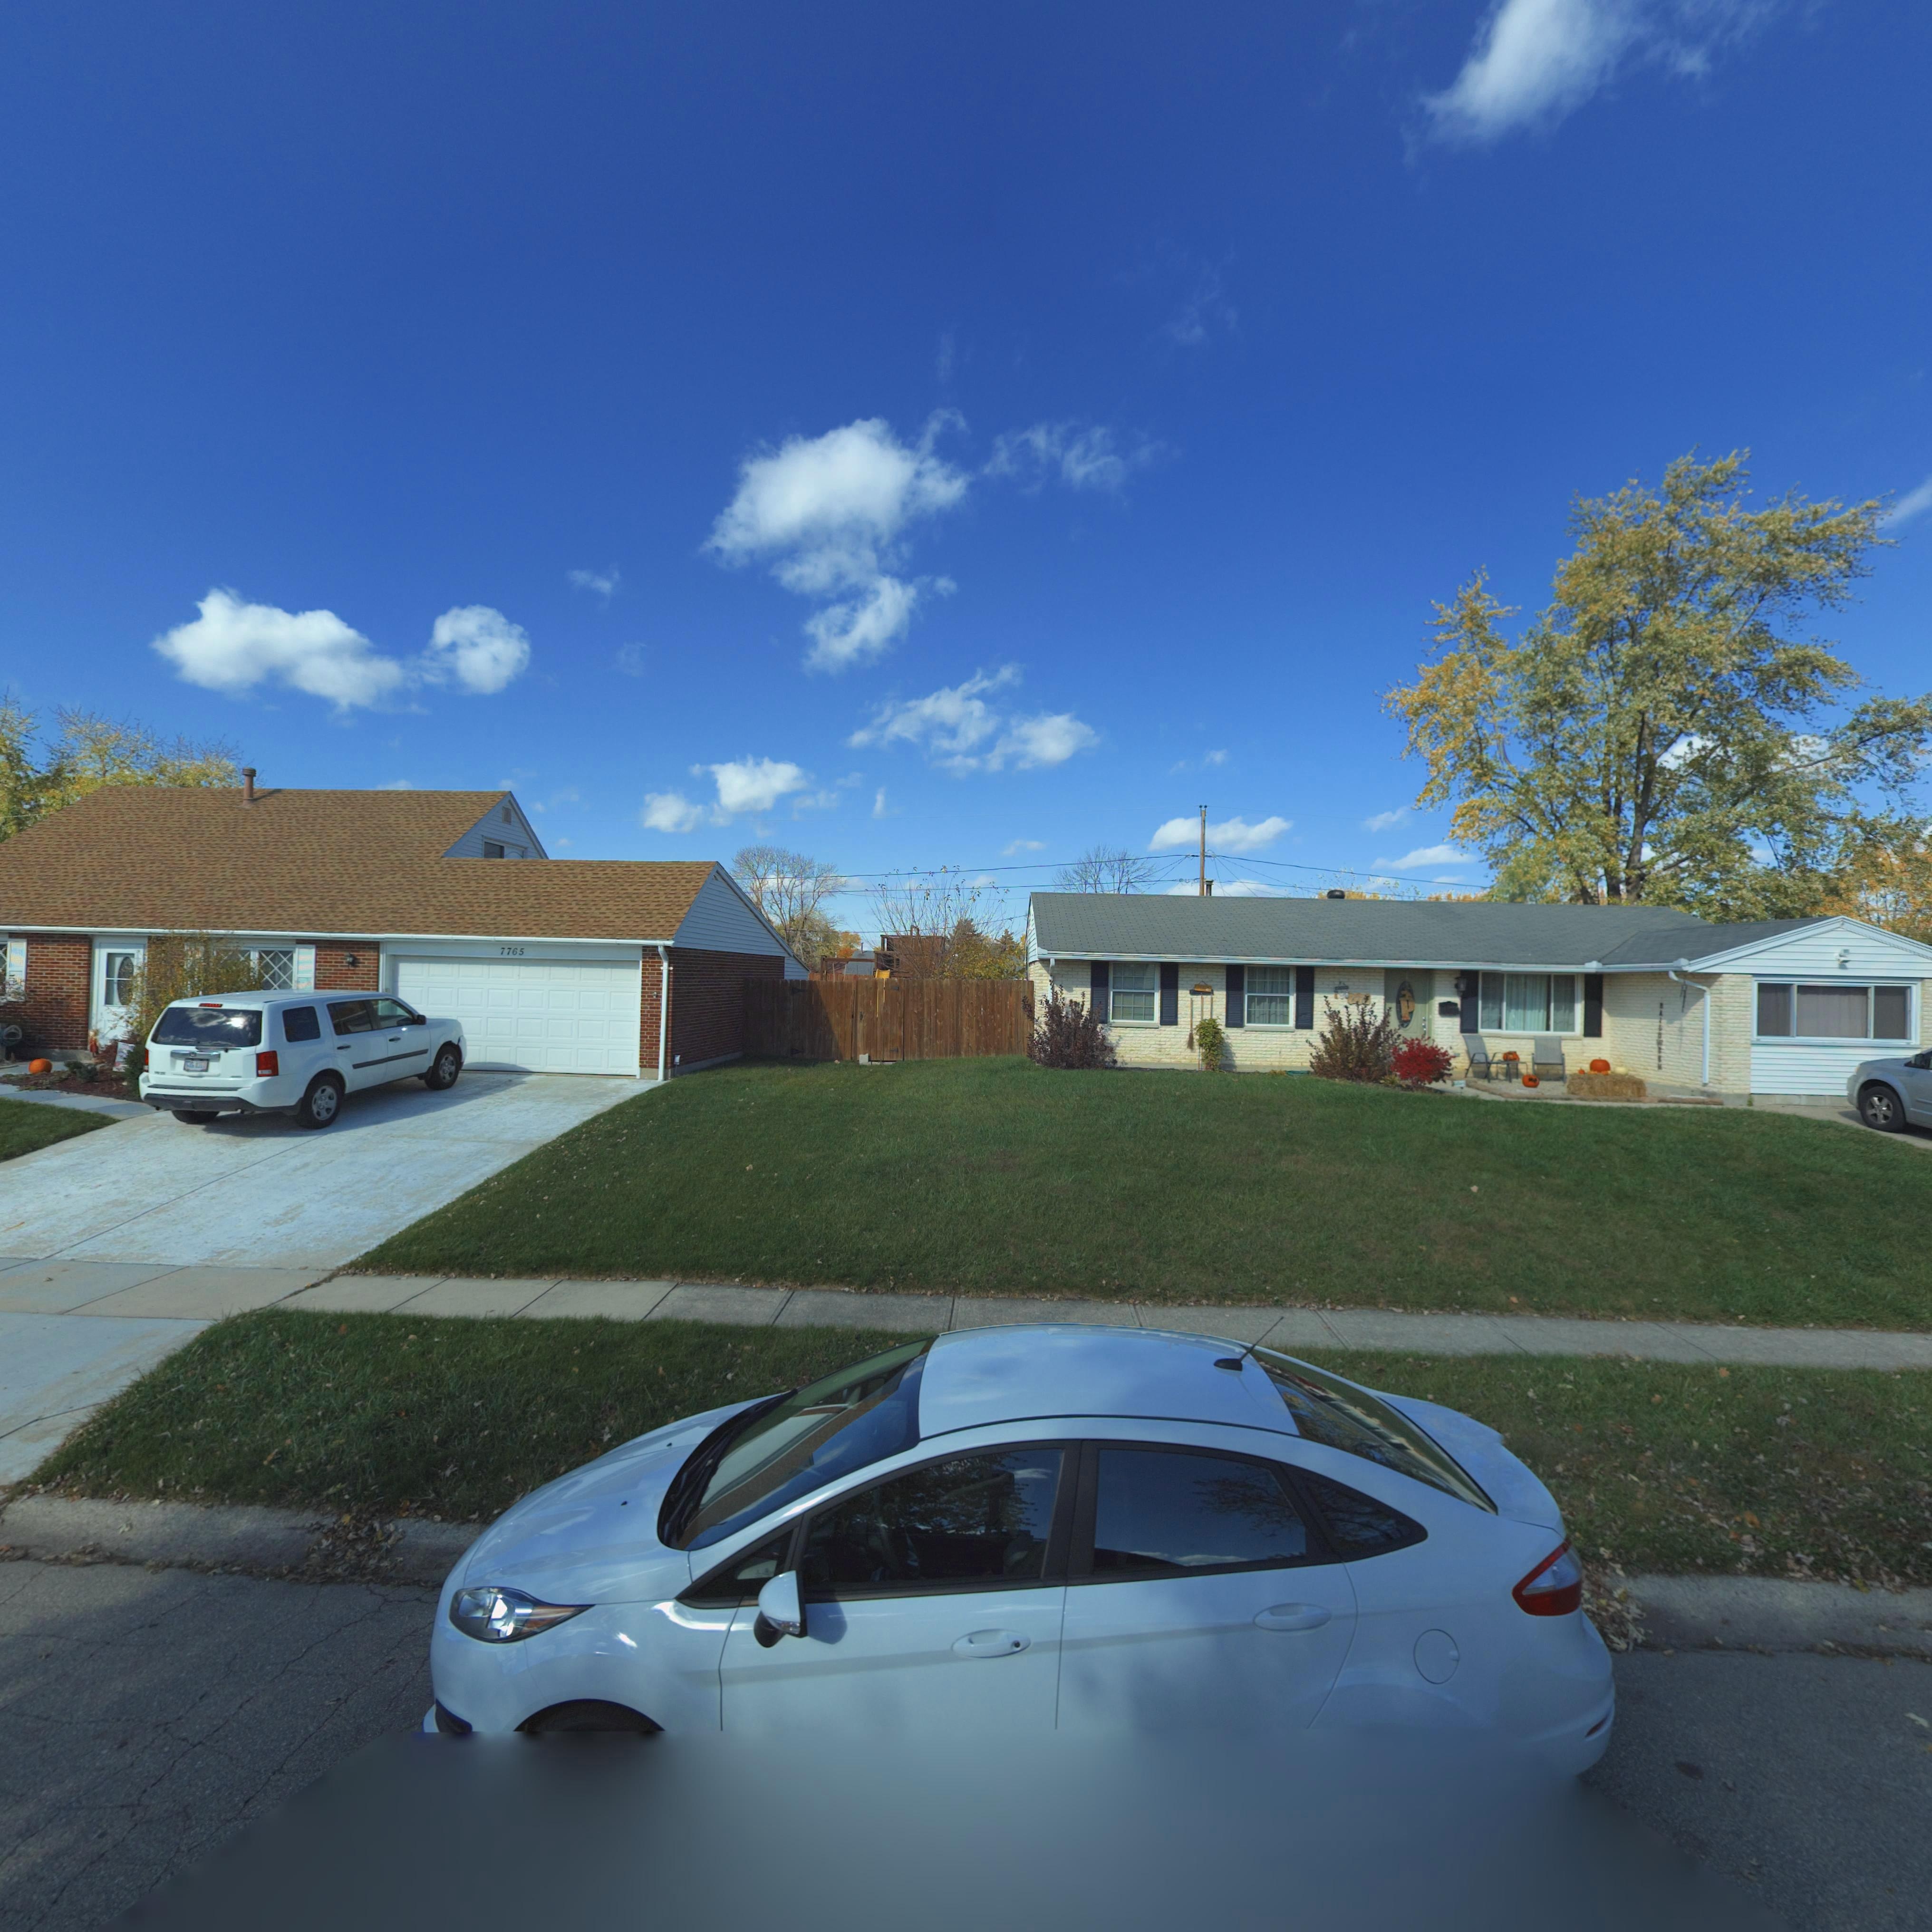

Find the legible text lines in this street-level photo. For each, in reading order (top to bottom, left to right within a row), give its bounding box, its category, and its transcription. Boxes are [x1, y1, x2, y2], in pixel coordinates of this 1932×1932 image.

[500, 947, 526, 956] StreetNumber: 7765
[1350, 995, 1366, 1004] StreetNumber: 777